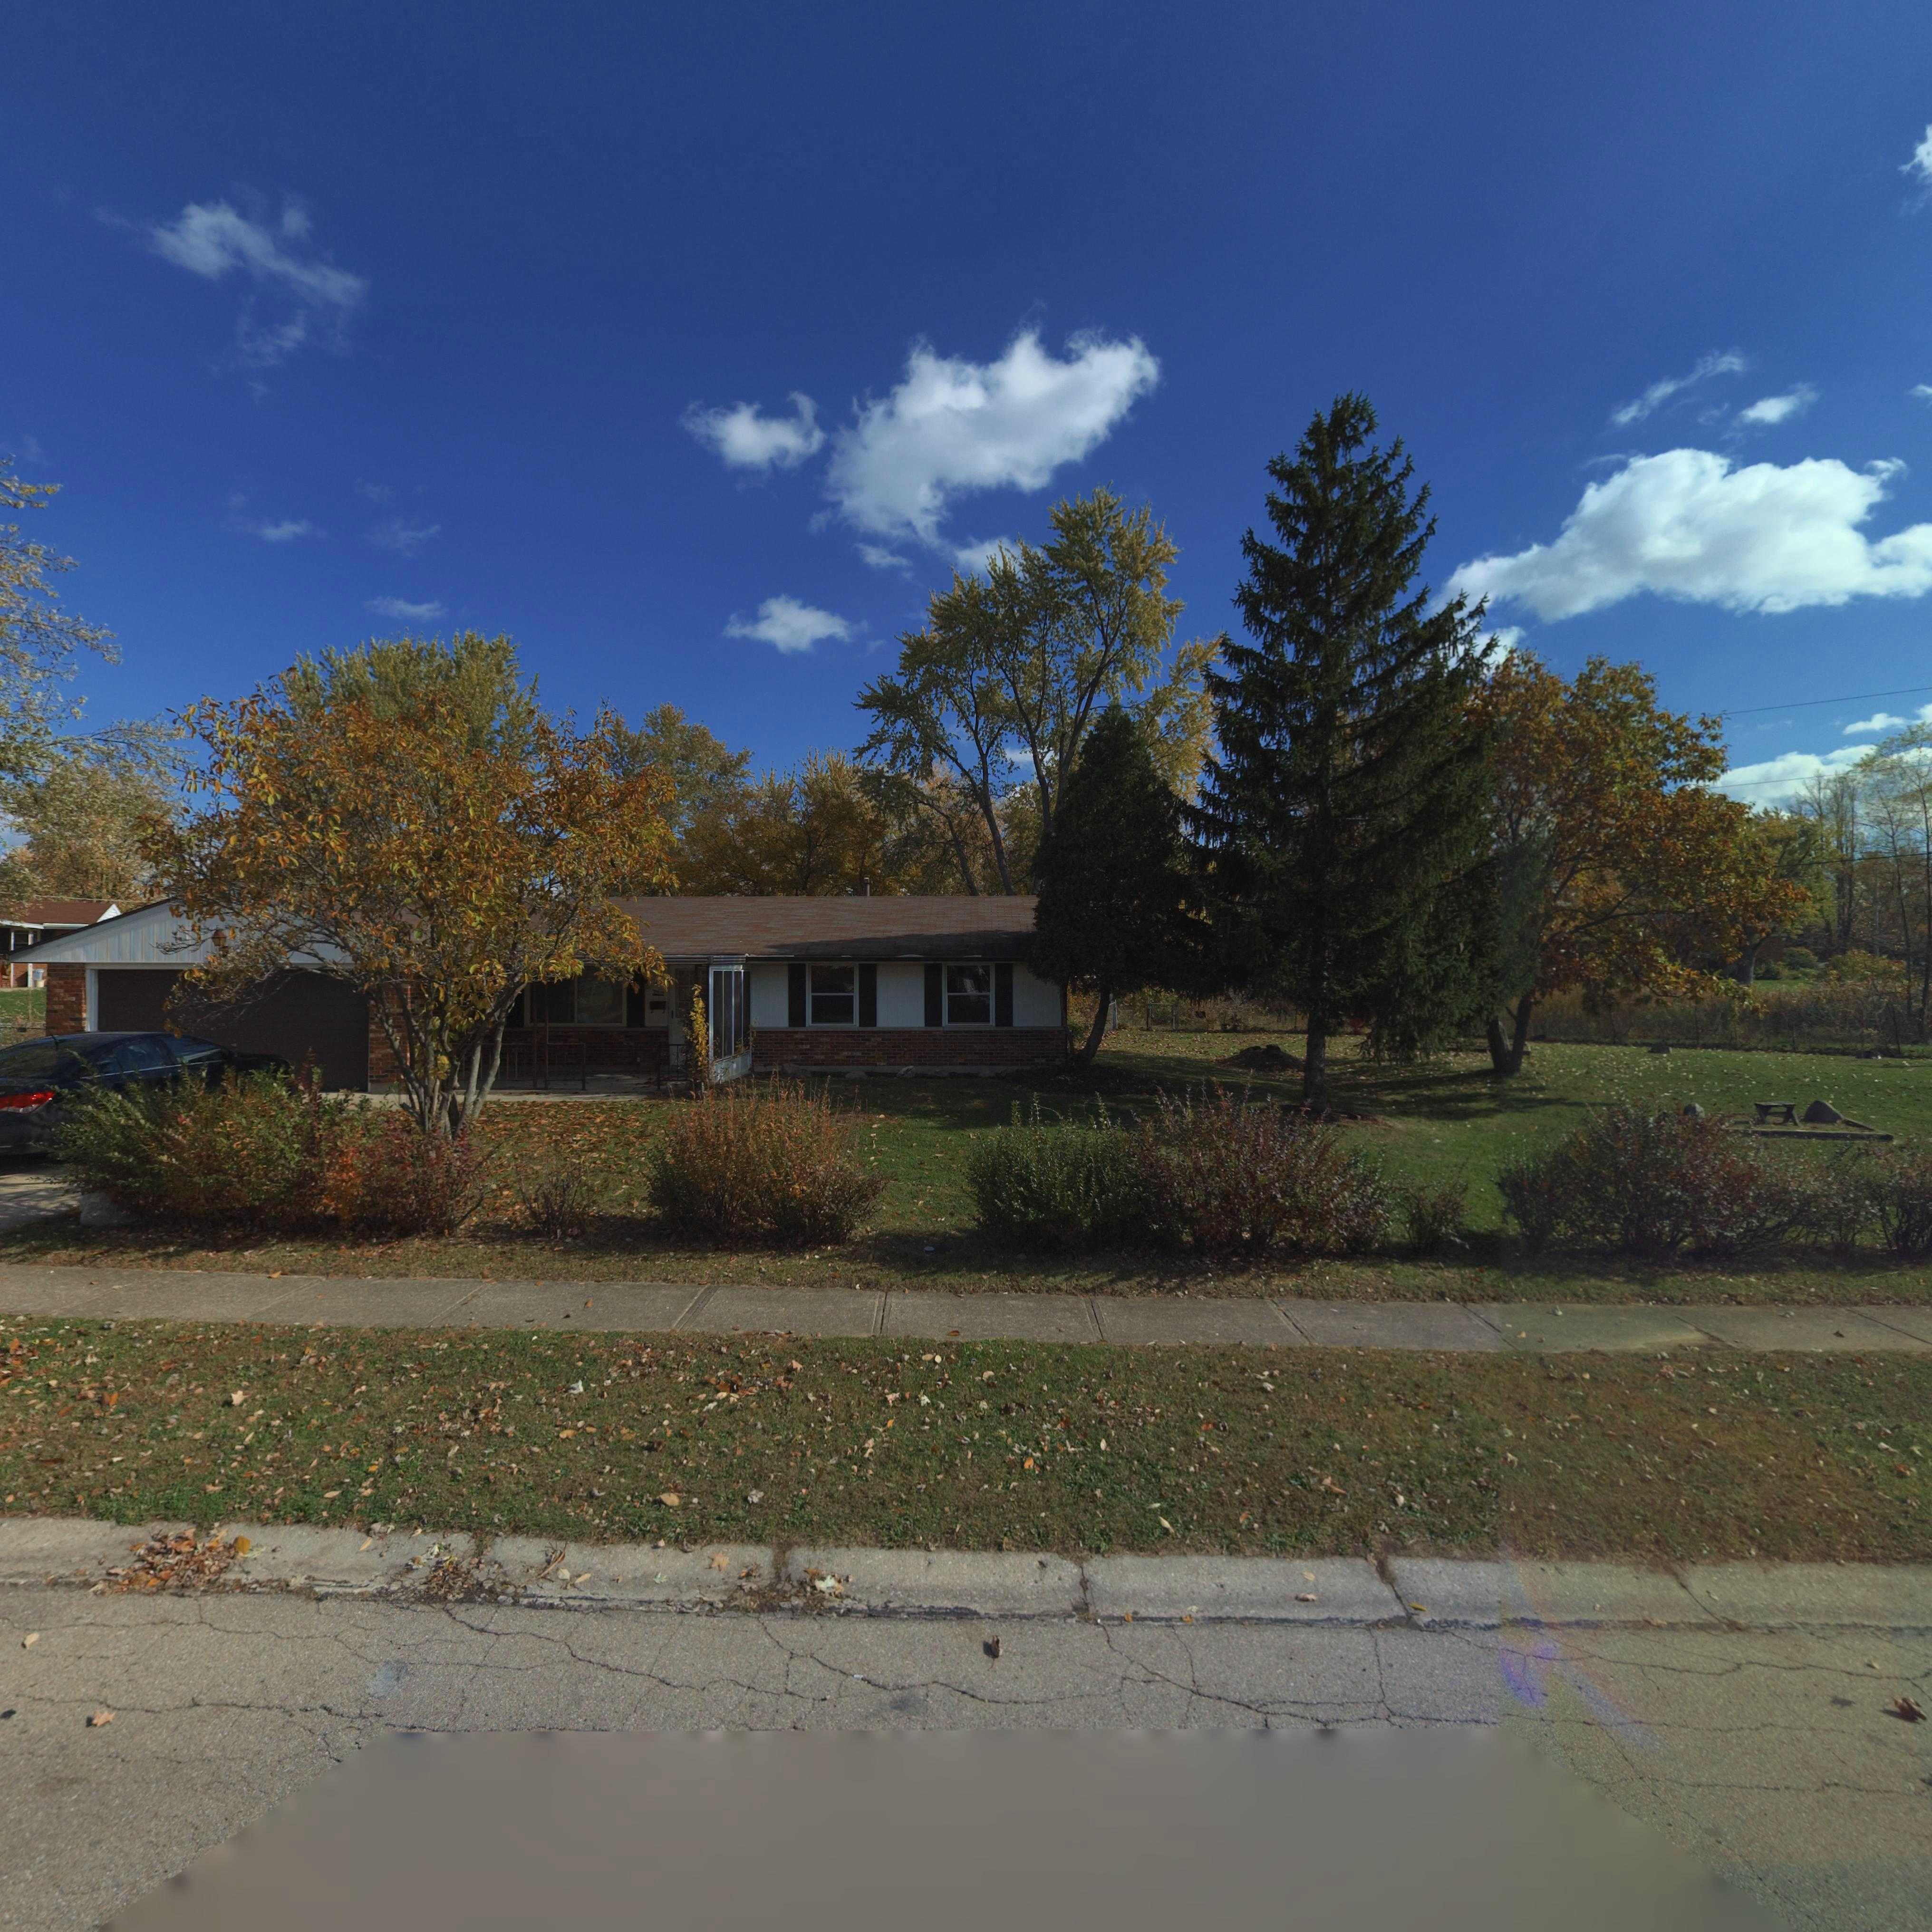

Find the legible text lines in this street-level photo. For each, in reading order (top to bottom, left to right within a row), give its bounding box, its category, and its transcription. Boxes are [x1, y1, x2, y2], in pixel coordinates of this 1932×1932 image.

[652, 989, 665, 995] StreetNumber: 790*